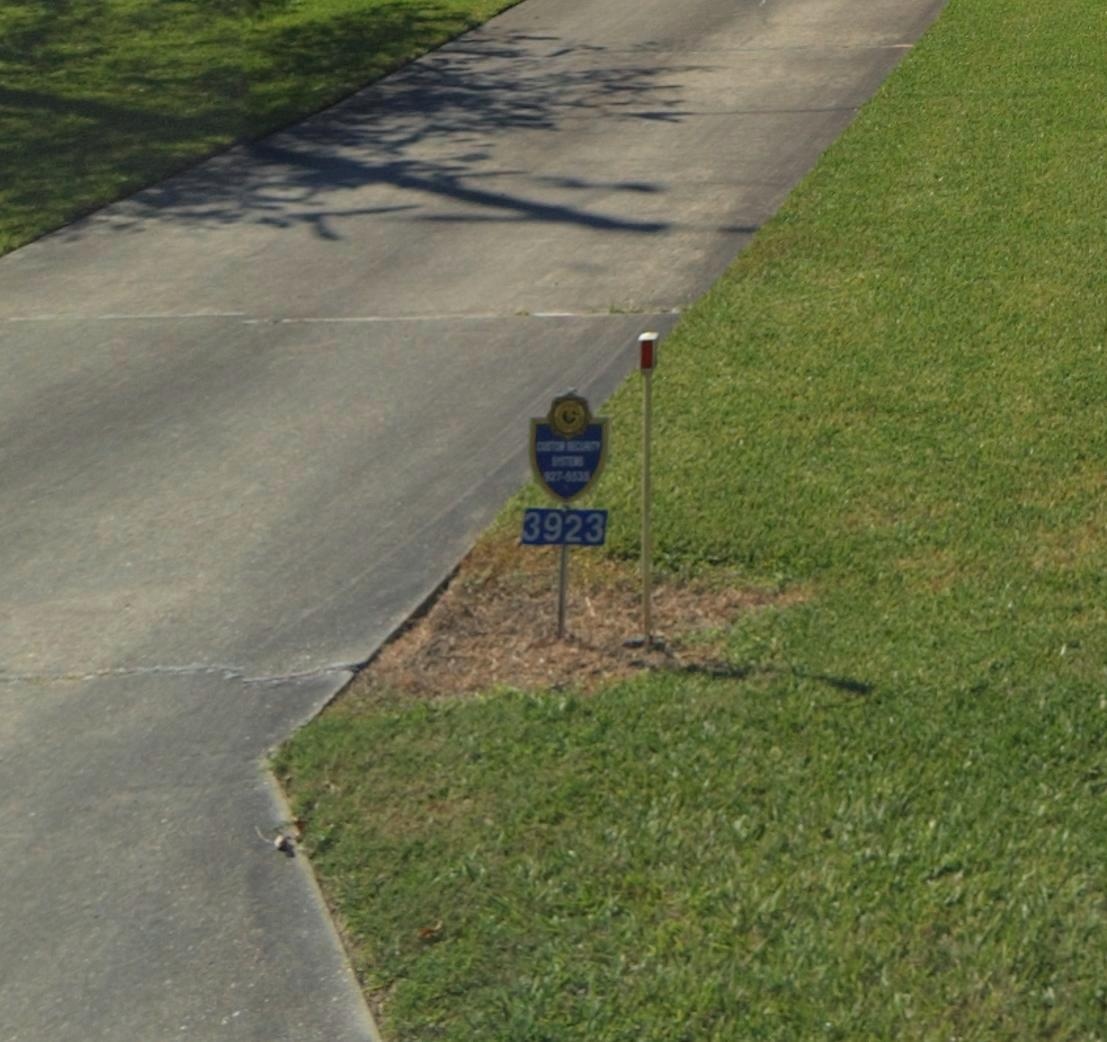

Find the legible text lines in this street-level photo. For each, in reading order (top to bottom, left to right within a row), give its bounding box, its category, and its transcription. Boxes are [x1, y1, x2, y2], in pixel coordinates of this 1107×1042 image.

[522, 512, 604, 542] StreetNumber: 3923